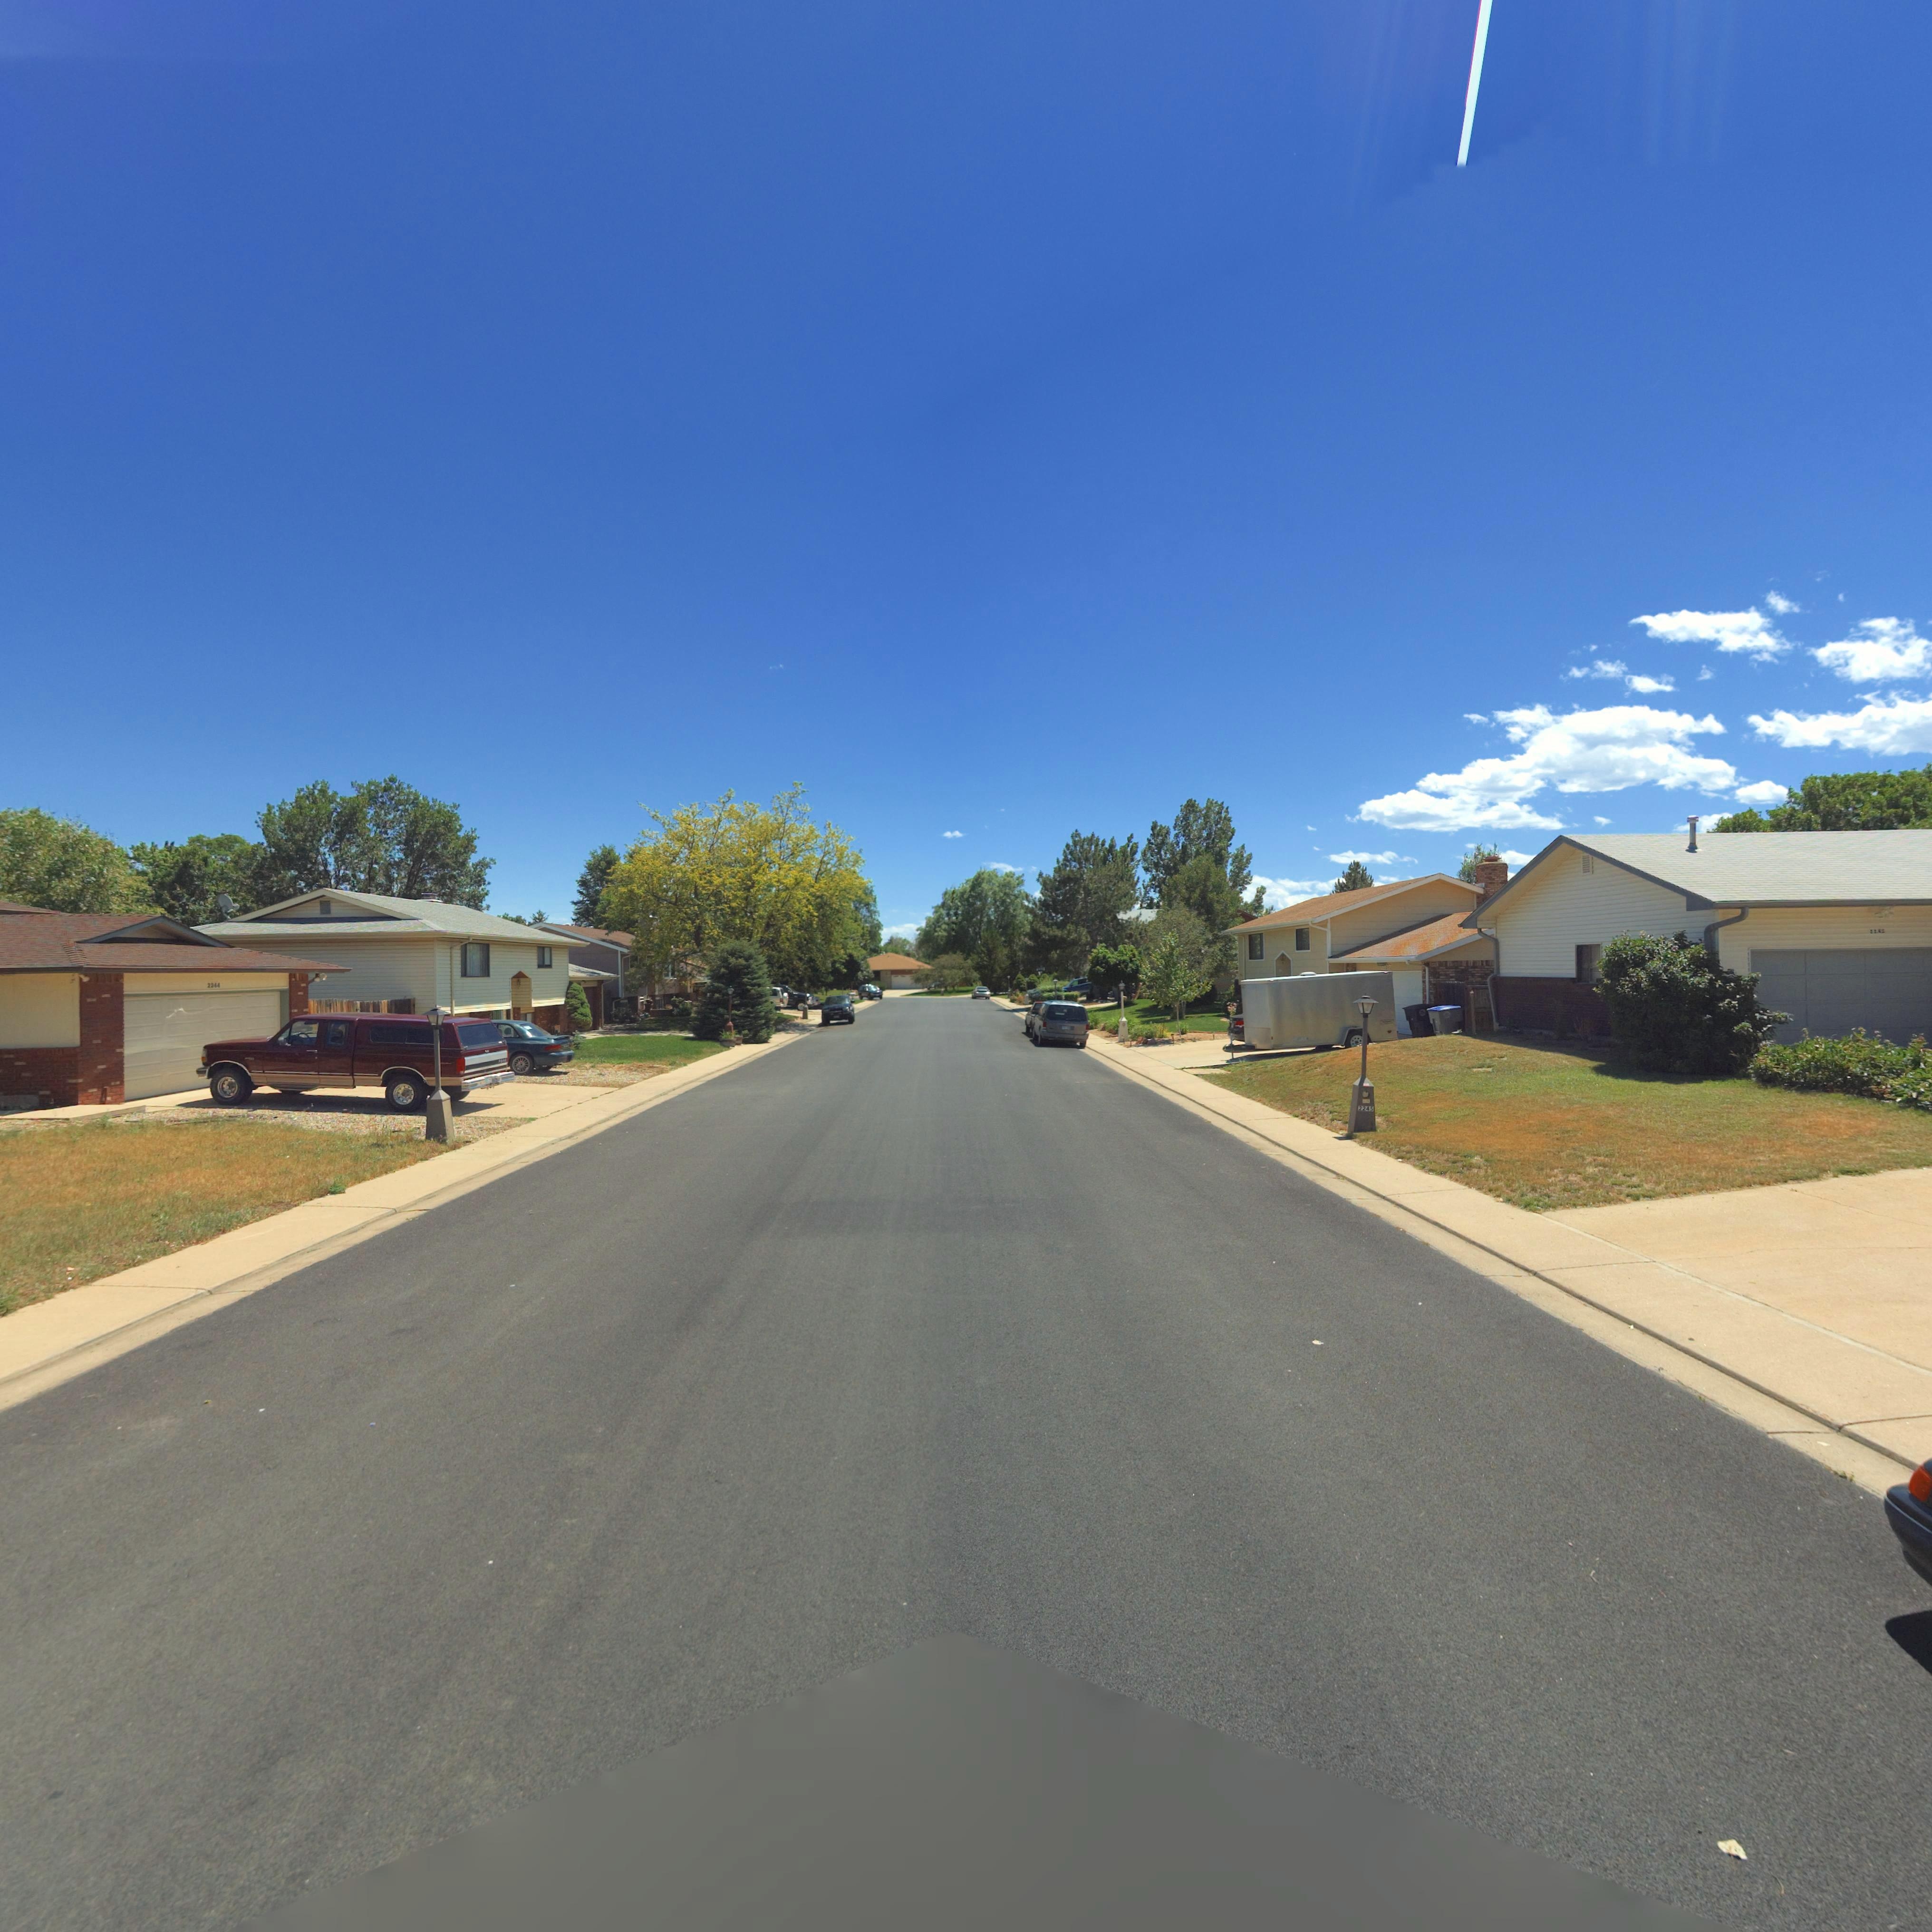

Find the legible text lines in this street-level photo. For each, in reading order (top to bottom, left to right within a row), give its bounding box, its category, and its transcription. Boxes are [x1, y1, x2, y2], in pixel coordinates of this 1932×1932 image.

[1870, 928, 1885, 934] StreetNumber: 22**
[207, 982, 220, 987] StreetNumber: 2244
[1358, 1106, 1373, 1111] StreetNumber: 2245